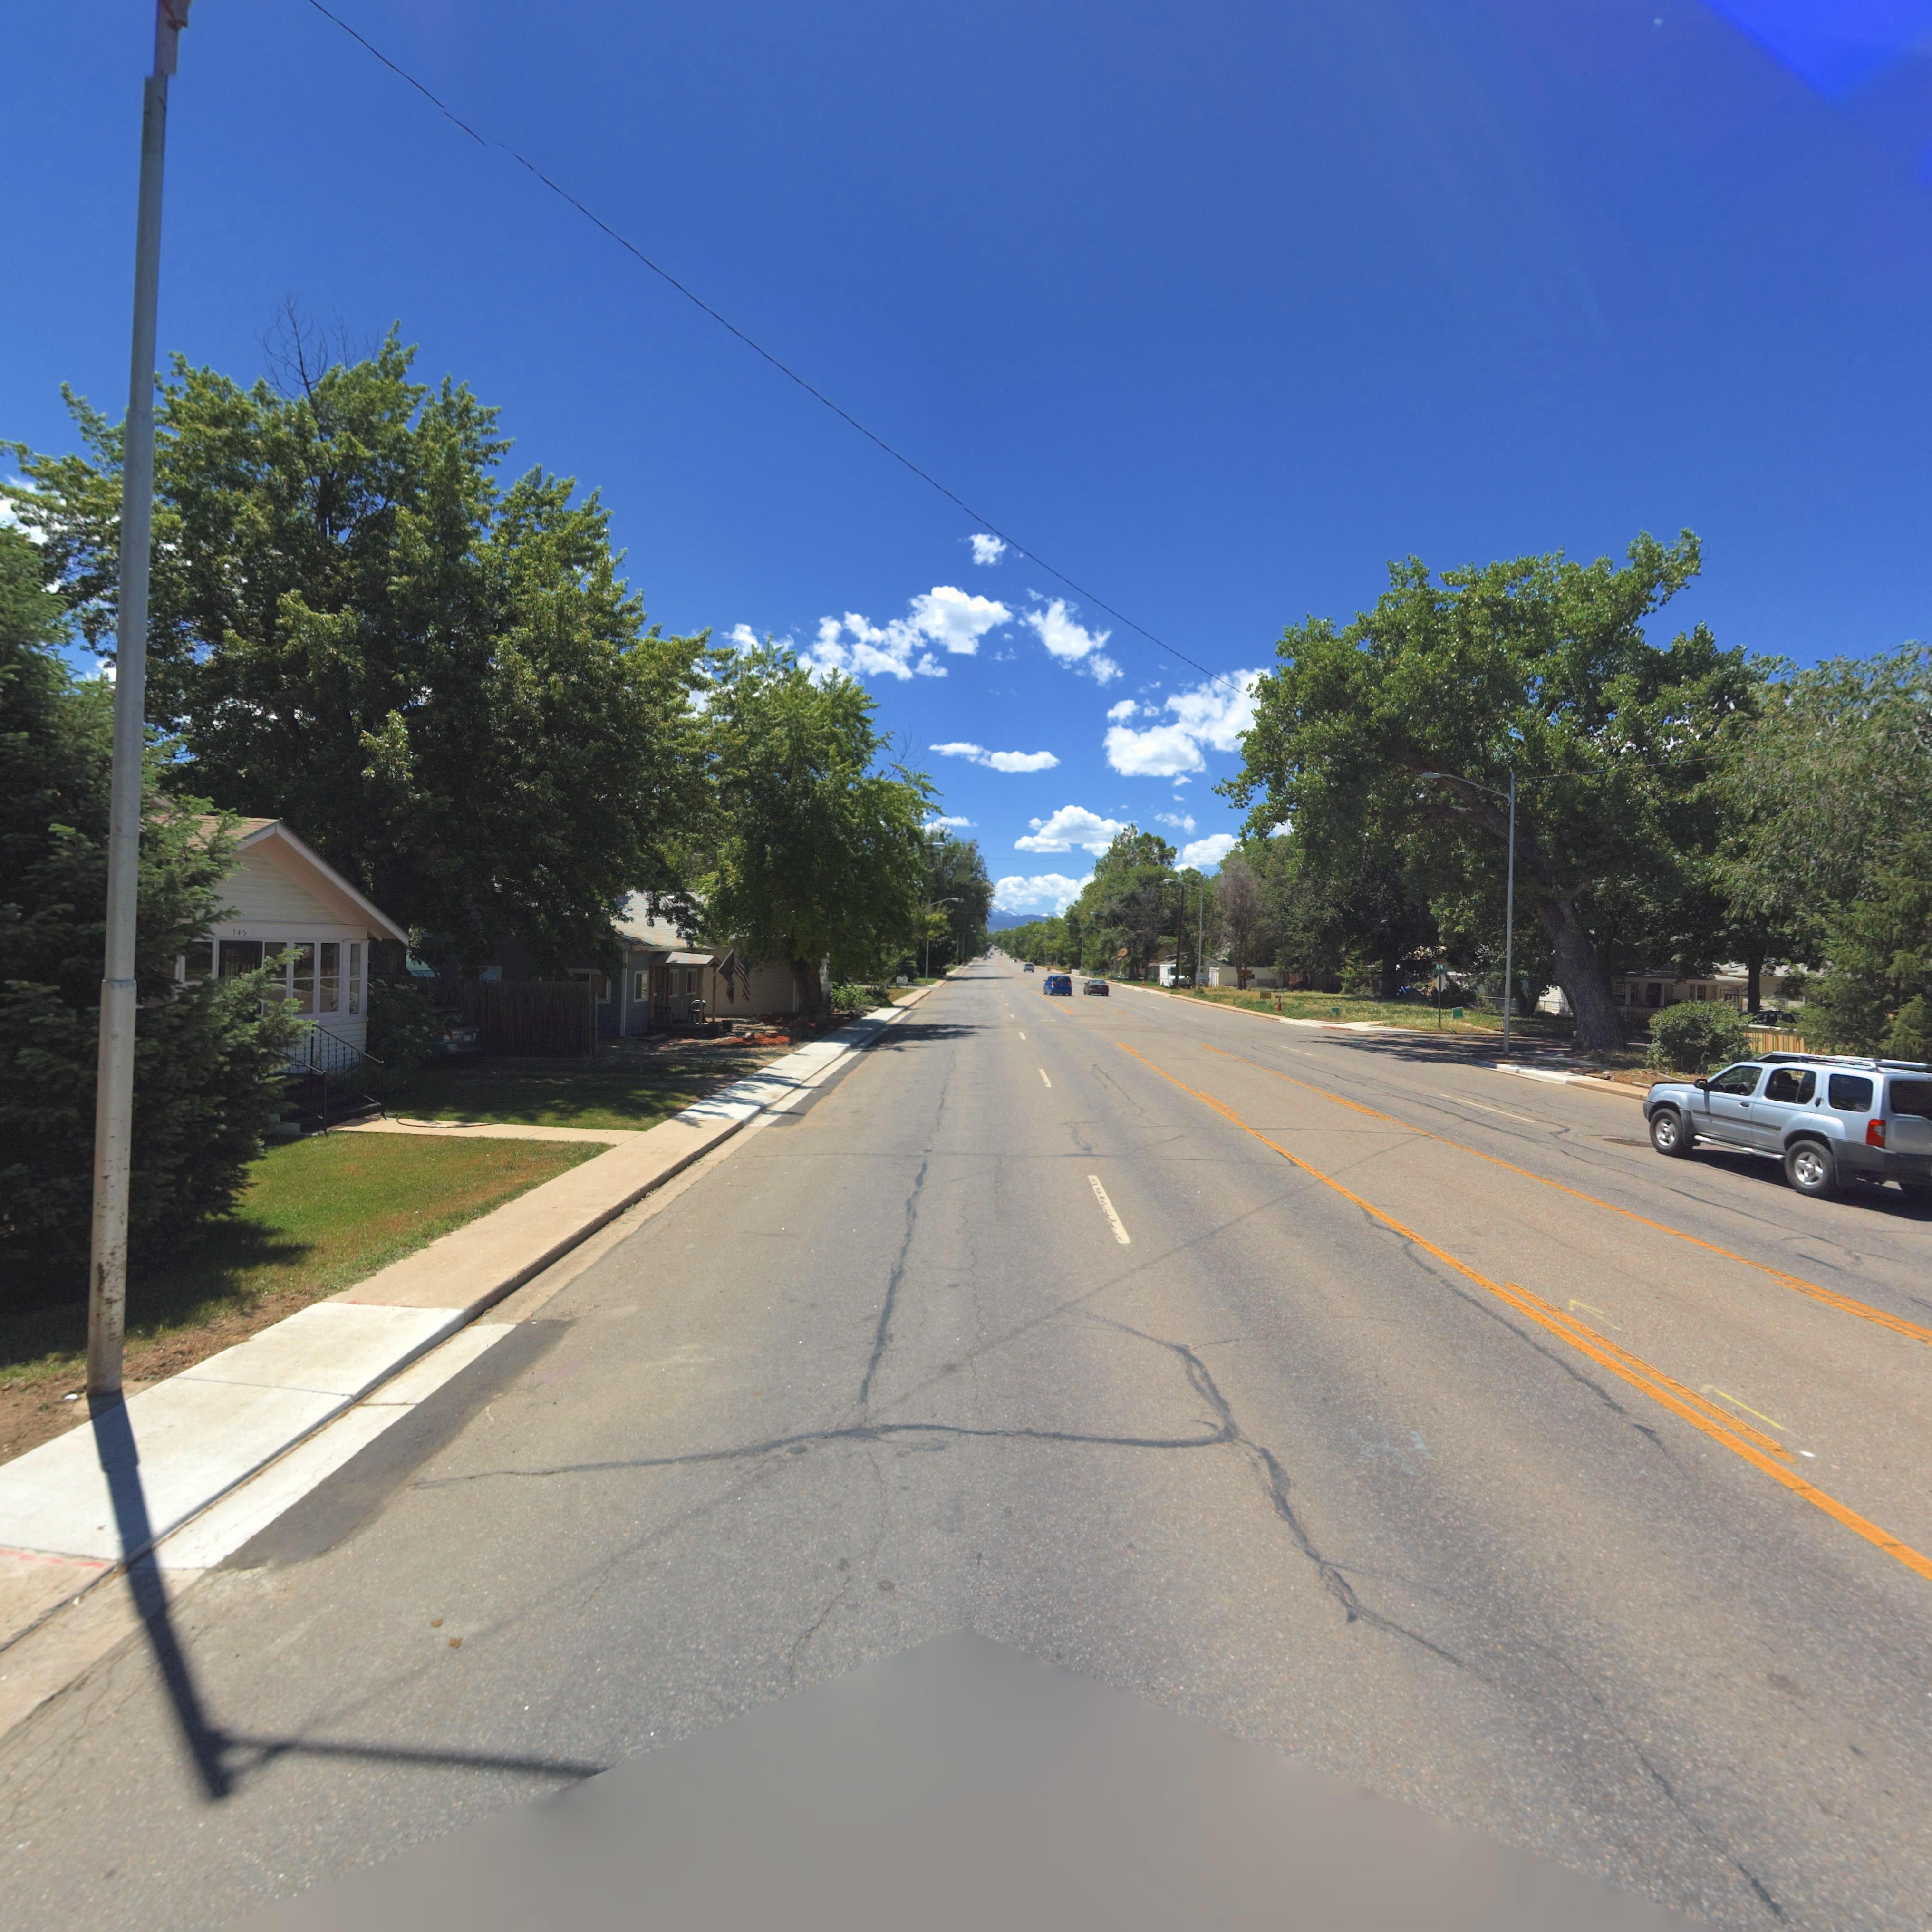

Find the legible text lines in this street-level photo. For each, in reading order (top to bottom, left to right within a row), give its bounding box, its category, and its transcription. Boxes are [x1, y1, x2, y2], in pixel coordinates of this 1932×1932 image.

[232, 928, 246, 936] StreetNumber: 745
[1432, 969, 1447, 974] StreetName: ALT* ST